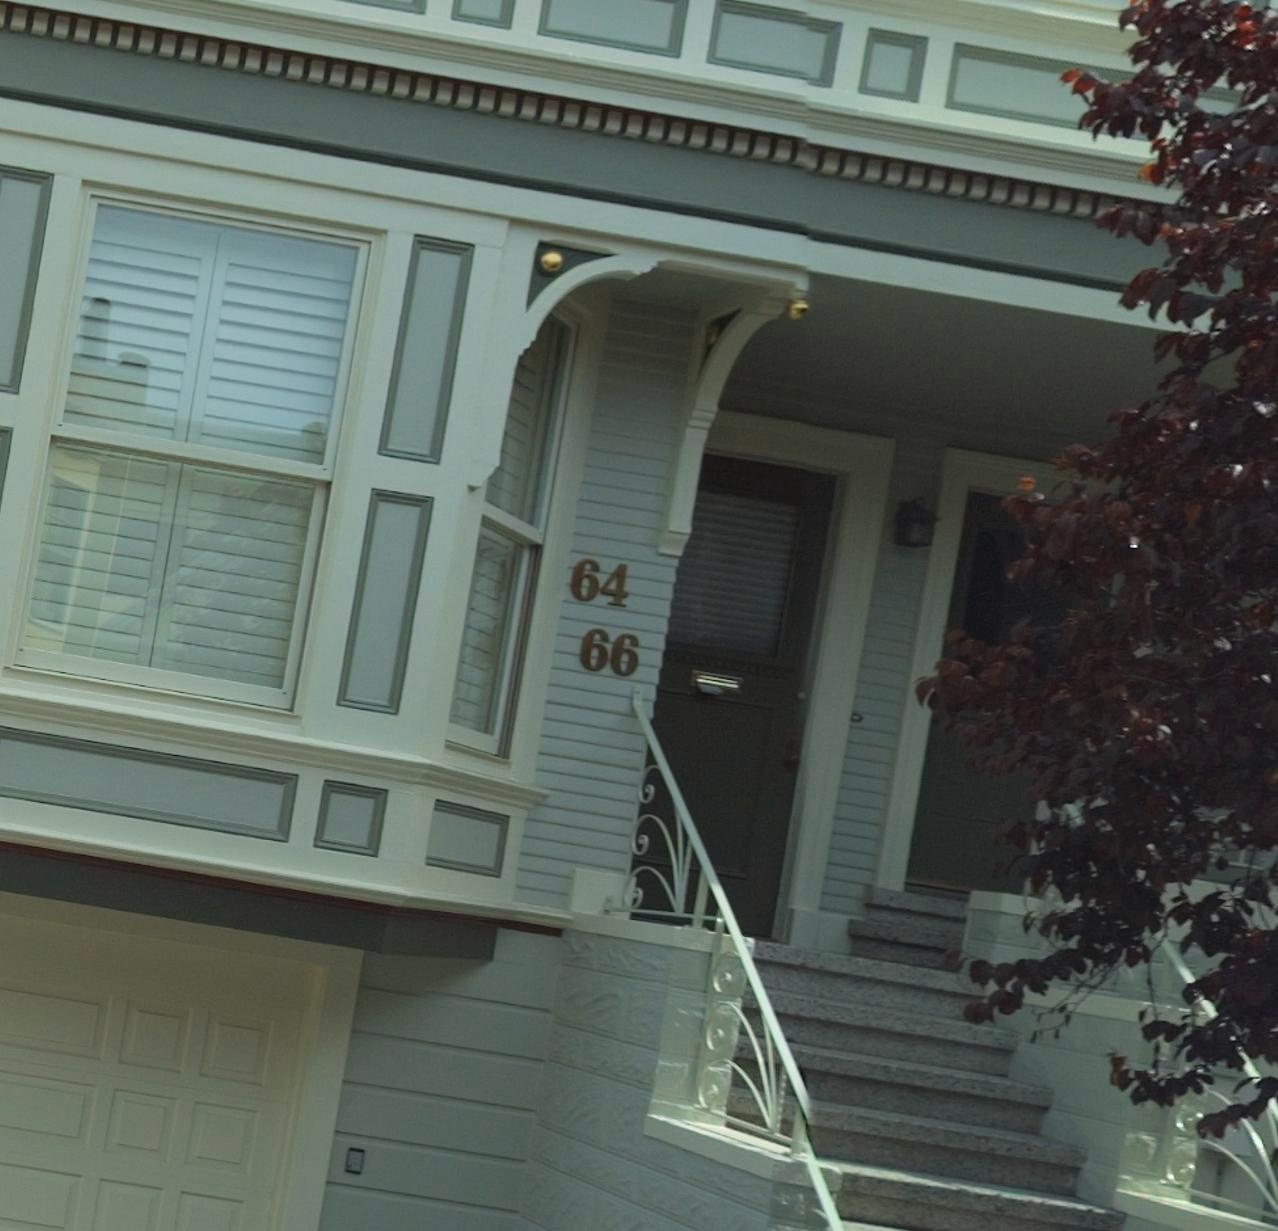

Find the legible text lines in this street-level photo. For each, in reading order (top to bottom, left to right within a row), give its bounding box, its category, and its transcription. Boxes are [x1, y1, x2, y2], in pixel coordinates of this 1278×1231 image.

[566, 553, 632, 612] None: 64
[575, 622, 646, 680] StreetNumber: 64